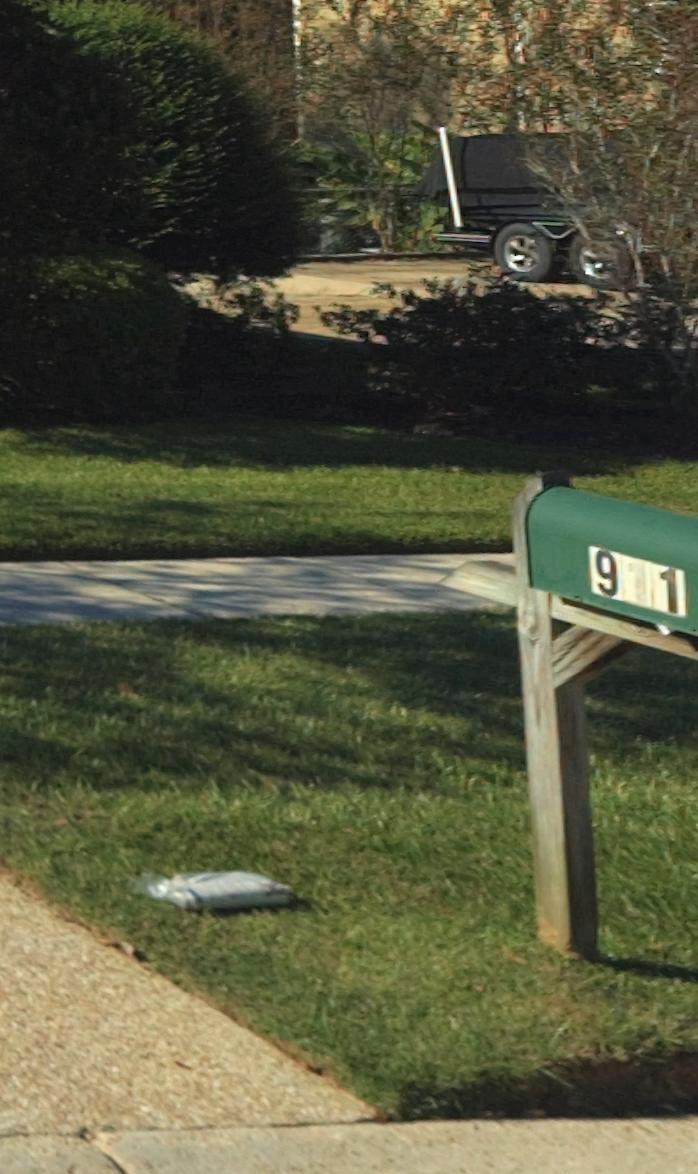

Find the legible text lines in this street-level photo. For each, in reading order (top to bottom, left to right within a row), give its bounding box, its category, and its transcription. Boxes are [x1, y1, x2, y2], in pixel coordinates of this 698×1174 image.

[592, 547, 680, 619] StreetNumber: 9*1